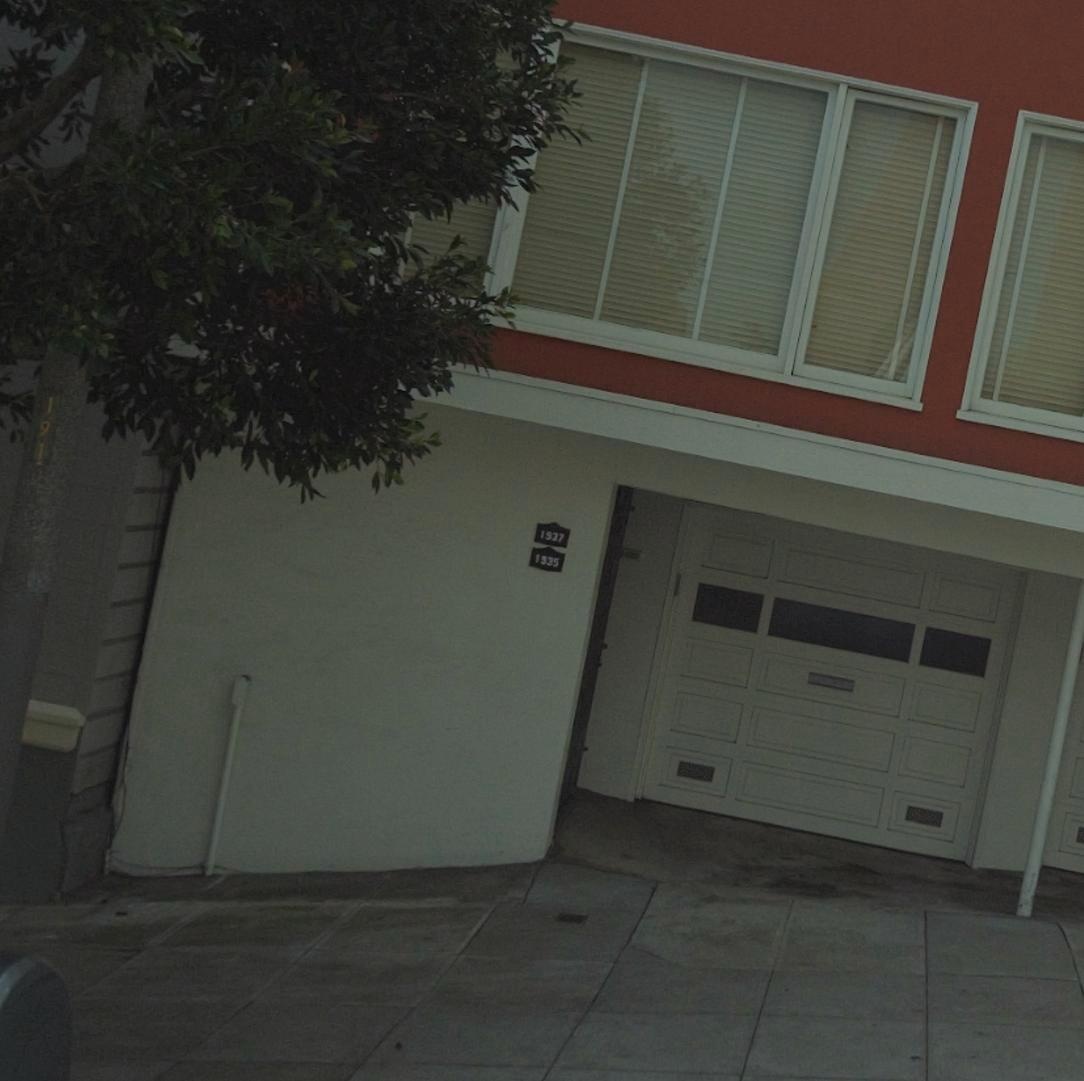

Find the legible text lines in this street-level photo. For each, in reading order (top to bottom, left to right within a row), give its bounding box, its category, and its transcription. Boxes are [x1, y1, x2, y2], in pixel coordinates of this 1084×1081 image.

[537, 527, 568, 546] StreetNumber: 1*37
[532, 550, 563, 571] StreetNumber: 1*35